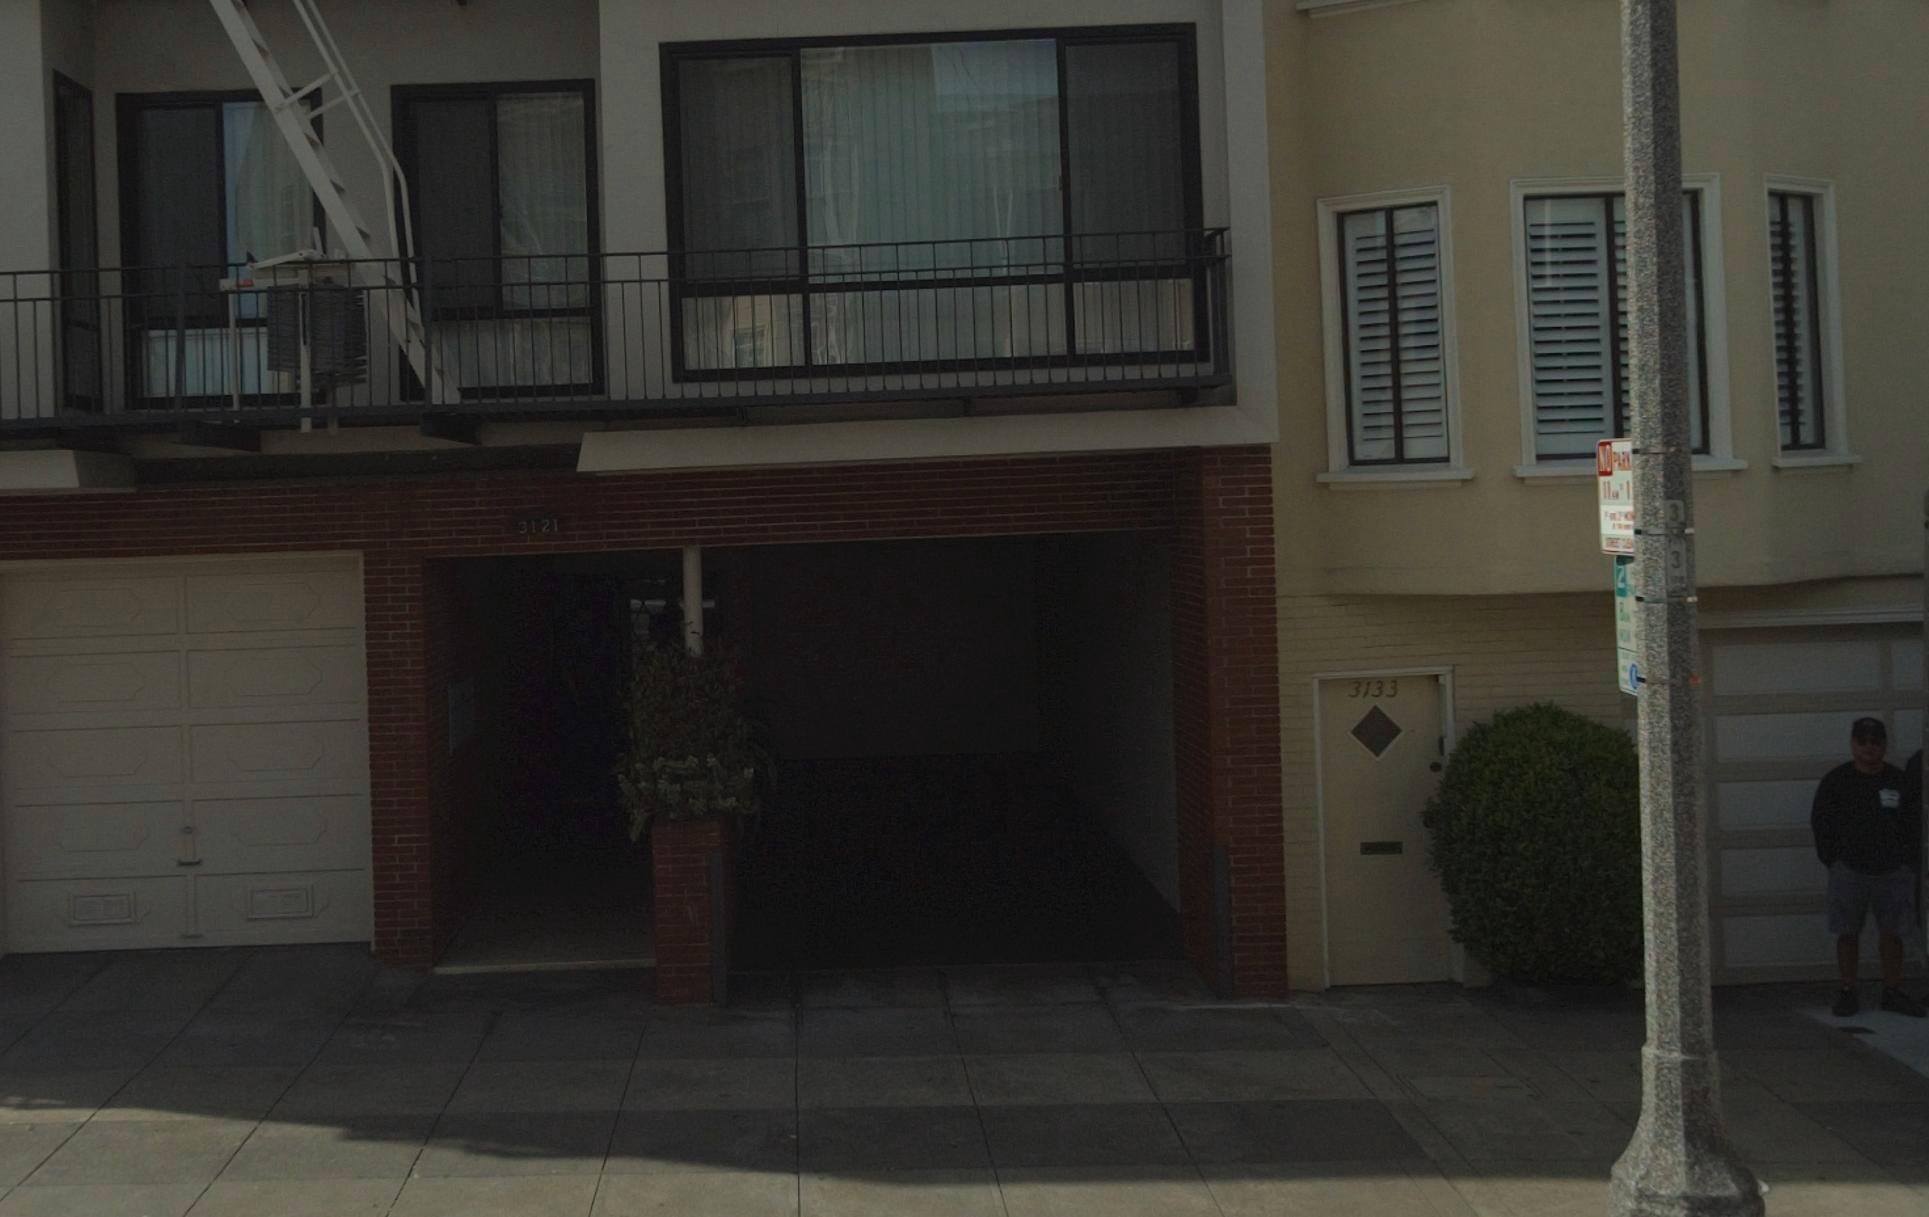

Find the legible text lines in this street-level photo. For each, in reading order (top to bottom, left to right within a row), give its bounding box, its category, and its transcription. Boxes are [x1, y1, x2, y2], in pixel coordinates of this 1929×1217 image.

[1596, 442, 1624, 474] None: NO PA
[1600, 477, 1614, 503] None: 11
[1624, 478, 1632, 503] None: 1
[516, 515, 560, 537] StreetNumber: 3121
[1667, 501, 1685, 571] None: 3*3
[1614, 558, 1628, 591] None: 2
[1344, 678, 1401, 700] StreetNumber: 3133